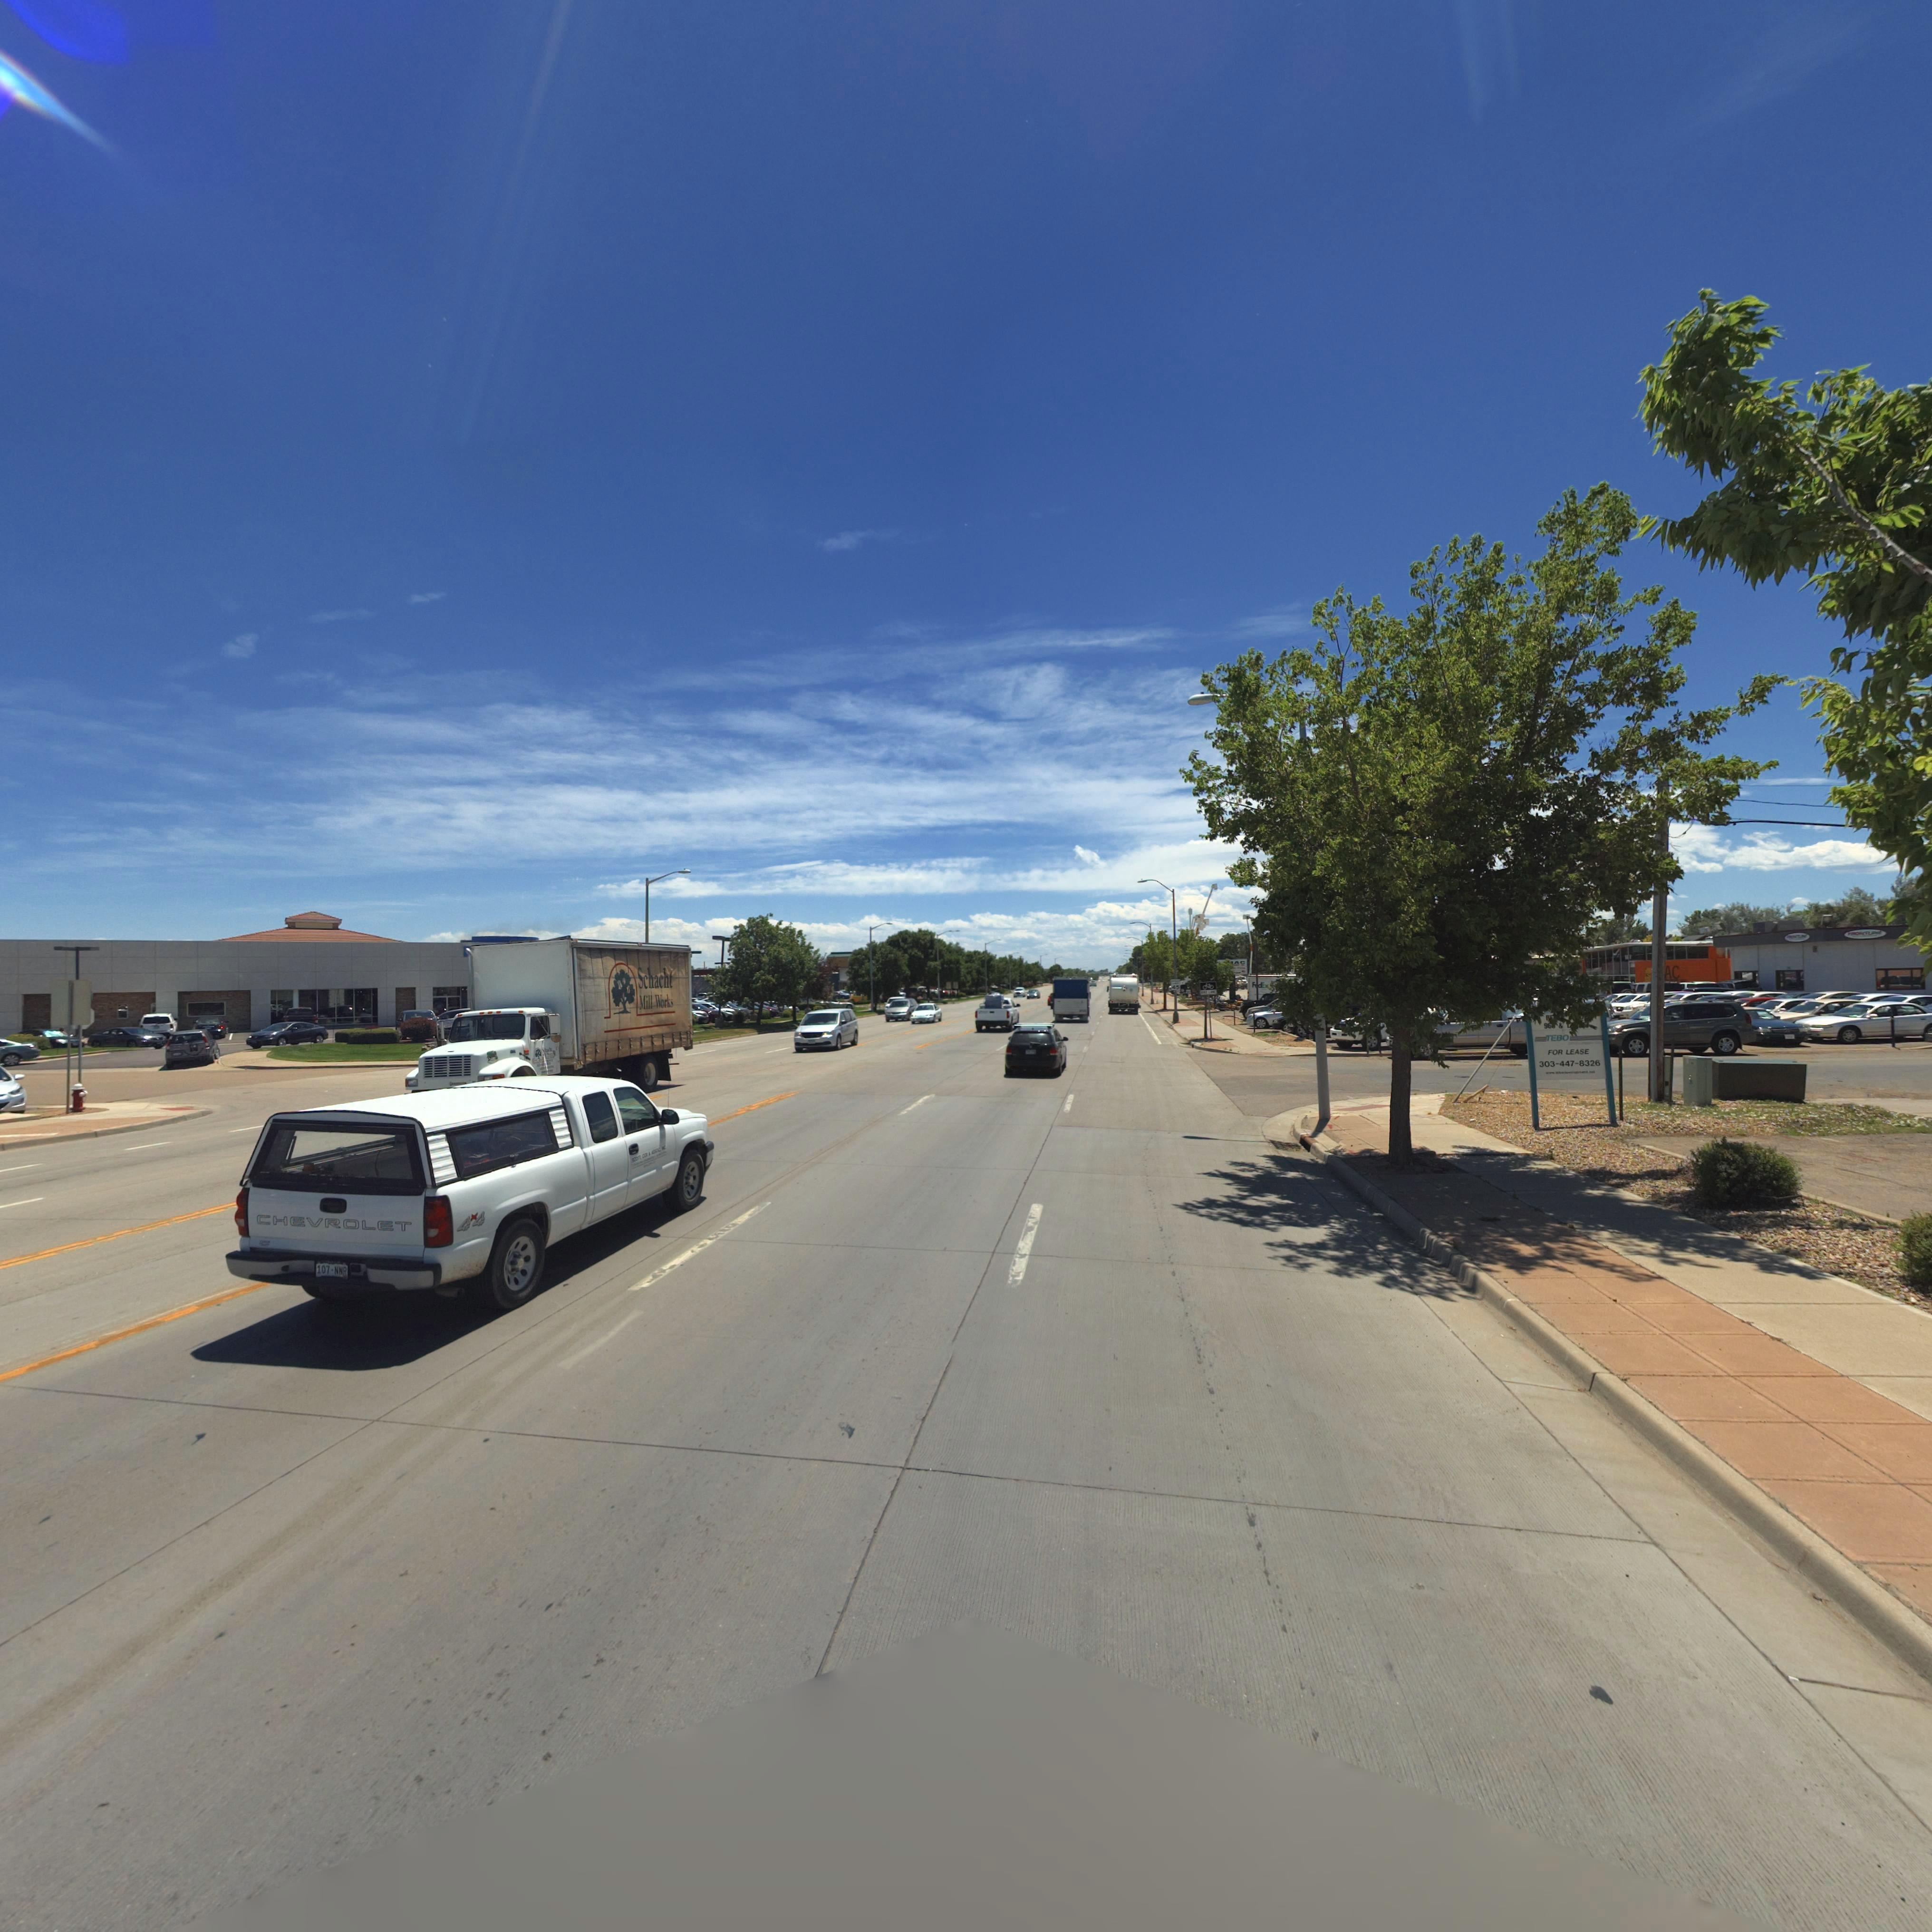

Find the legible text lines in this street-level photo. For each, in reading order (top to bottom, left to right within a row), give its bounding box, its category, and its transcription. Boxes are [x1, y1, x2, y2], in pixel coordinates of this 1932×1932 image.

[1847, 930, 1882, 936] BusinessName: FRONTL**E
[1663, 965, 1680, 979] BusinessName: AC
[1539, 1060, 1600, 1068] PhoneNumber: 303-447-8326